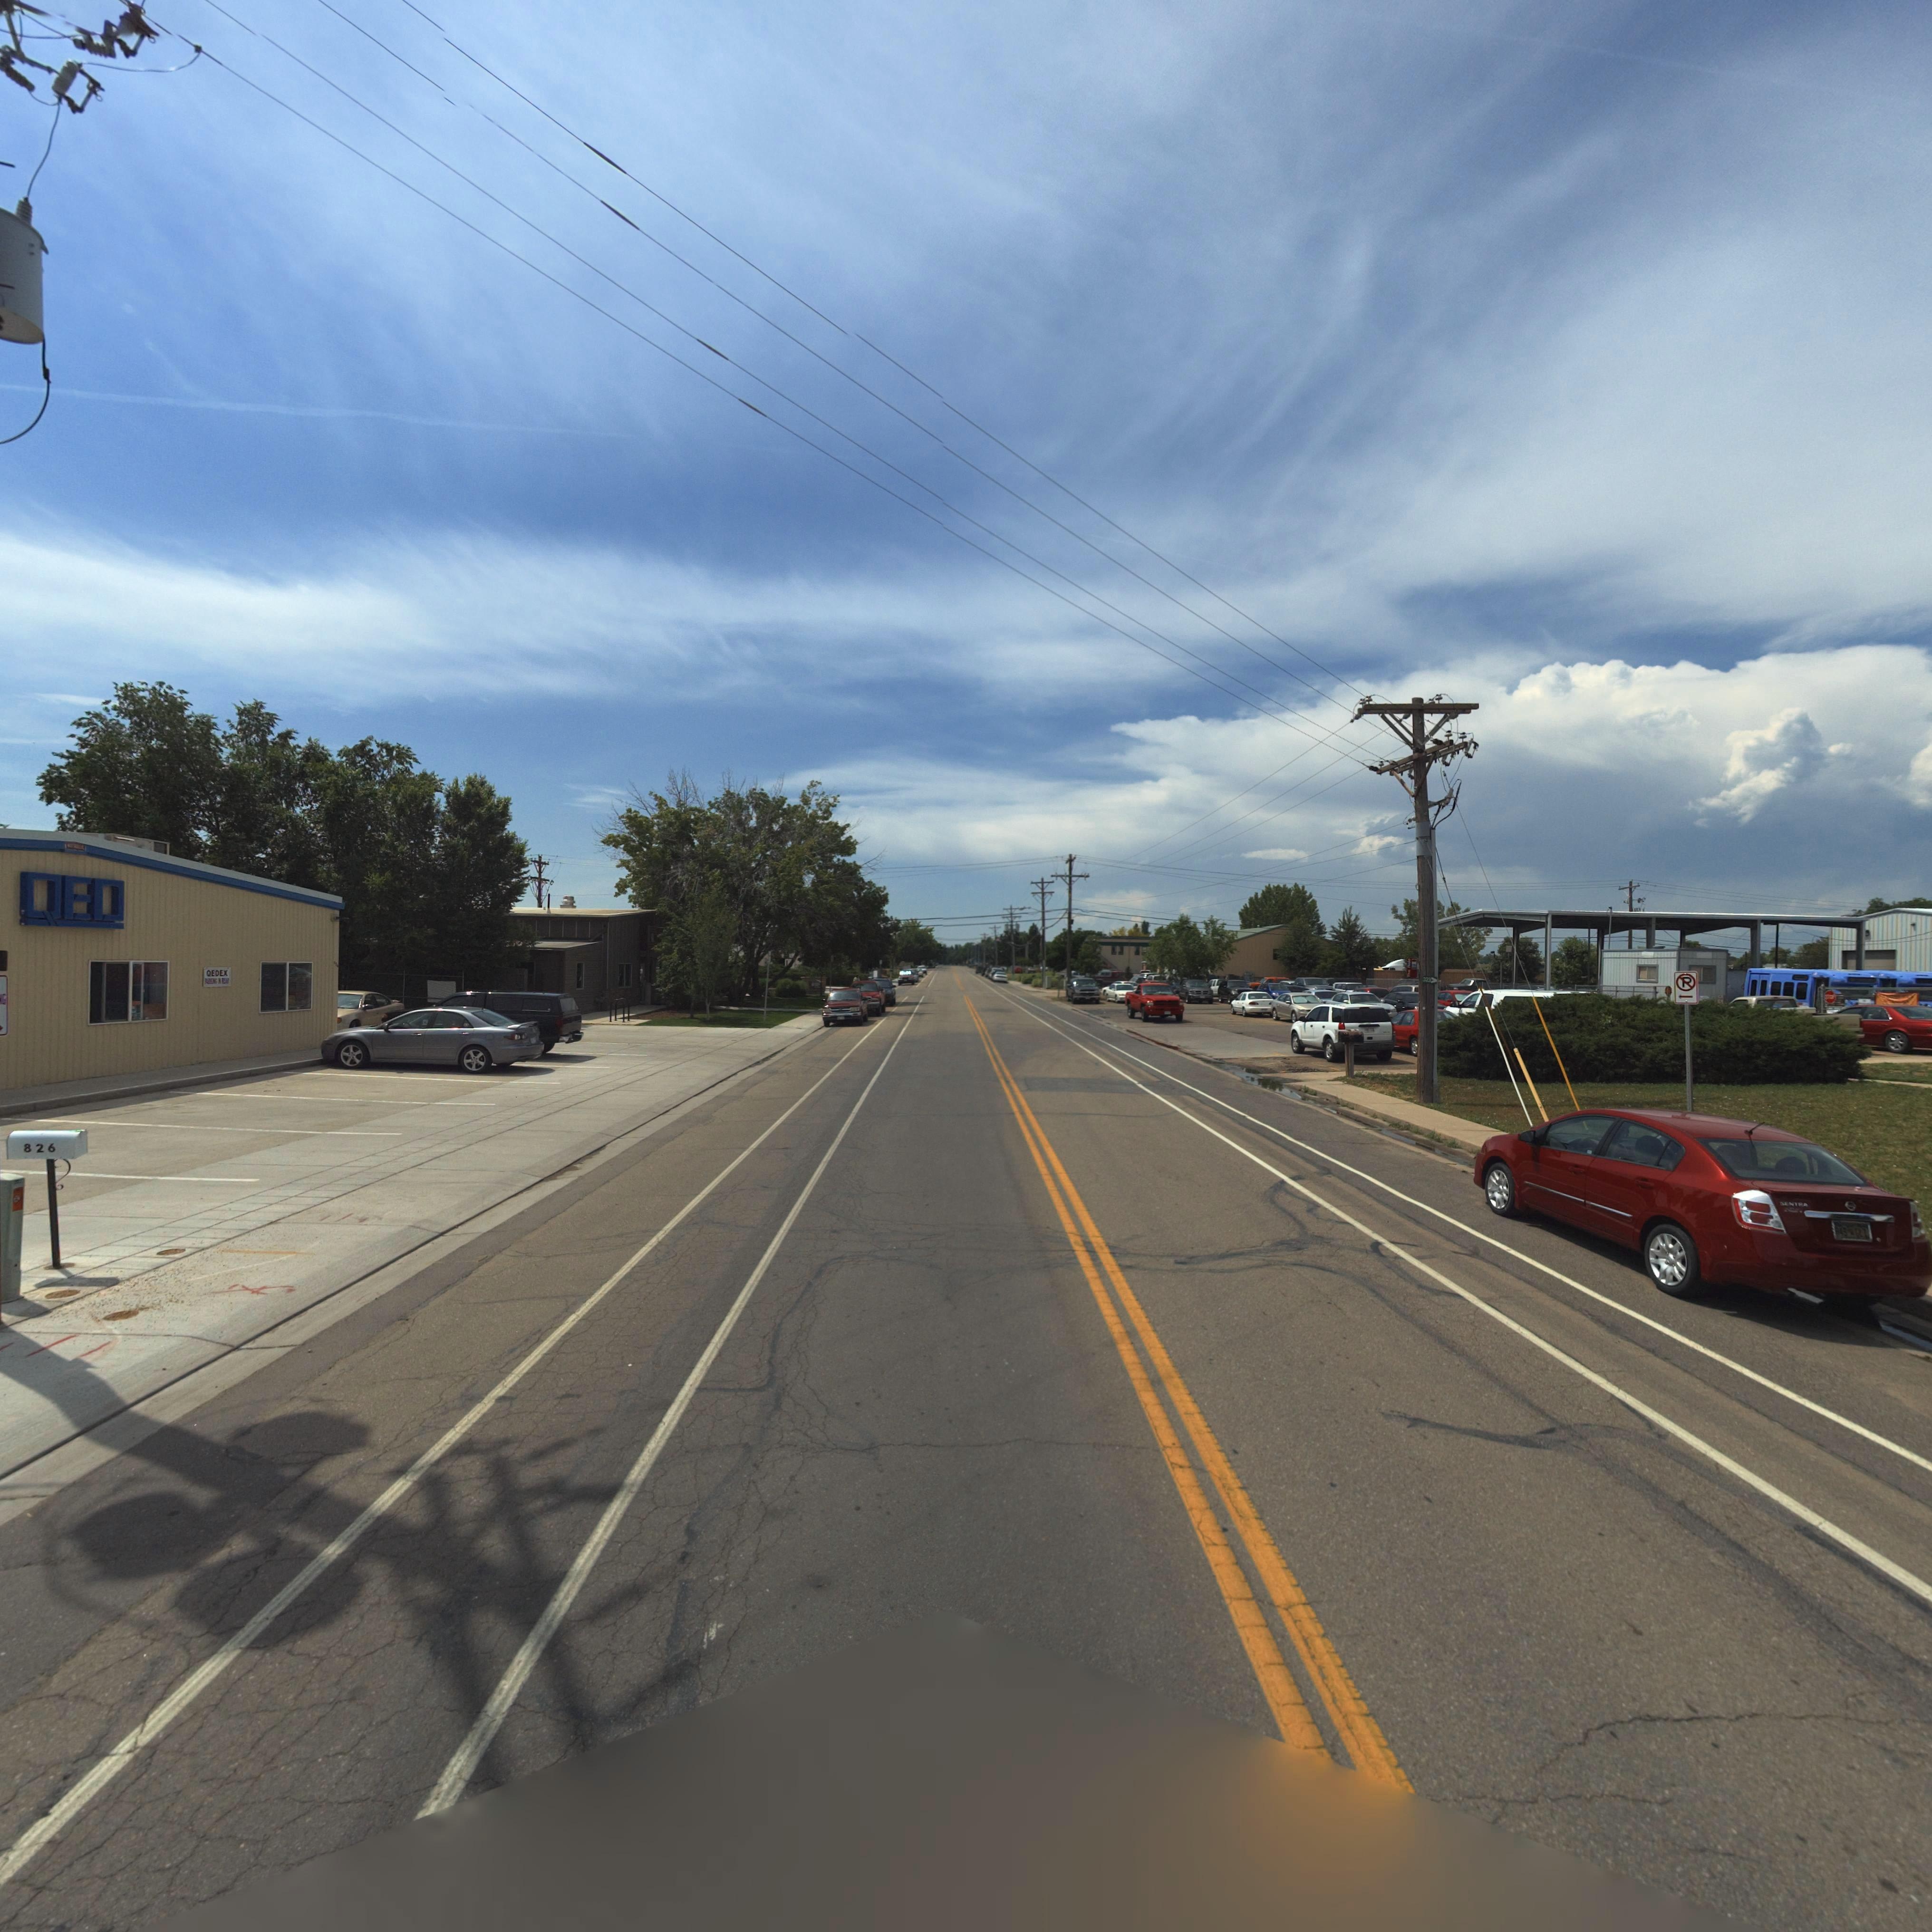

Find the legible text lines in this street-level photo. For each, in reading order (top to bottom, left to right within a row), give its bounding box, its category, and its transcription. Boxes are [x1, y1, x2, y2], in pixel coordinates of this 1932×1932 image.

[19, 871, 125, 926] BusinessName: QED
[206, 969, 228, 977] BusinessName: QEDEX
[23, 1142, 56, 1153] StreetNumber: 826